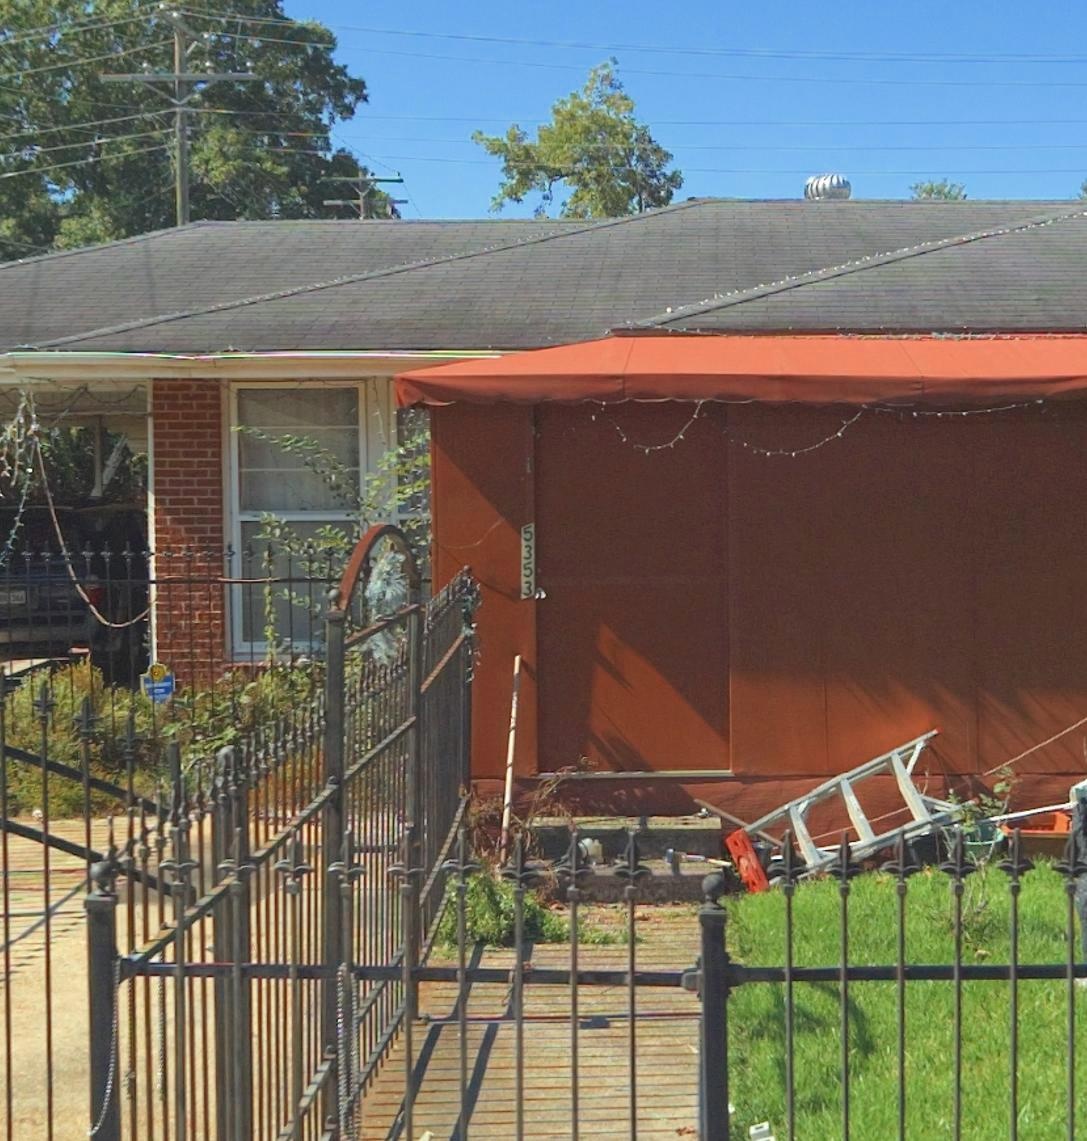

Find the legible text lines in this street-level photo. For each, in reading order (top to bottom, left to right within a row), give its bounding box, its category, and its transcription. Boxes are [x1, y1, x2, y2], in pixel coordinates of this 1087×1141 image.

[522, 524, 534, 597] StreetNumber: 5353